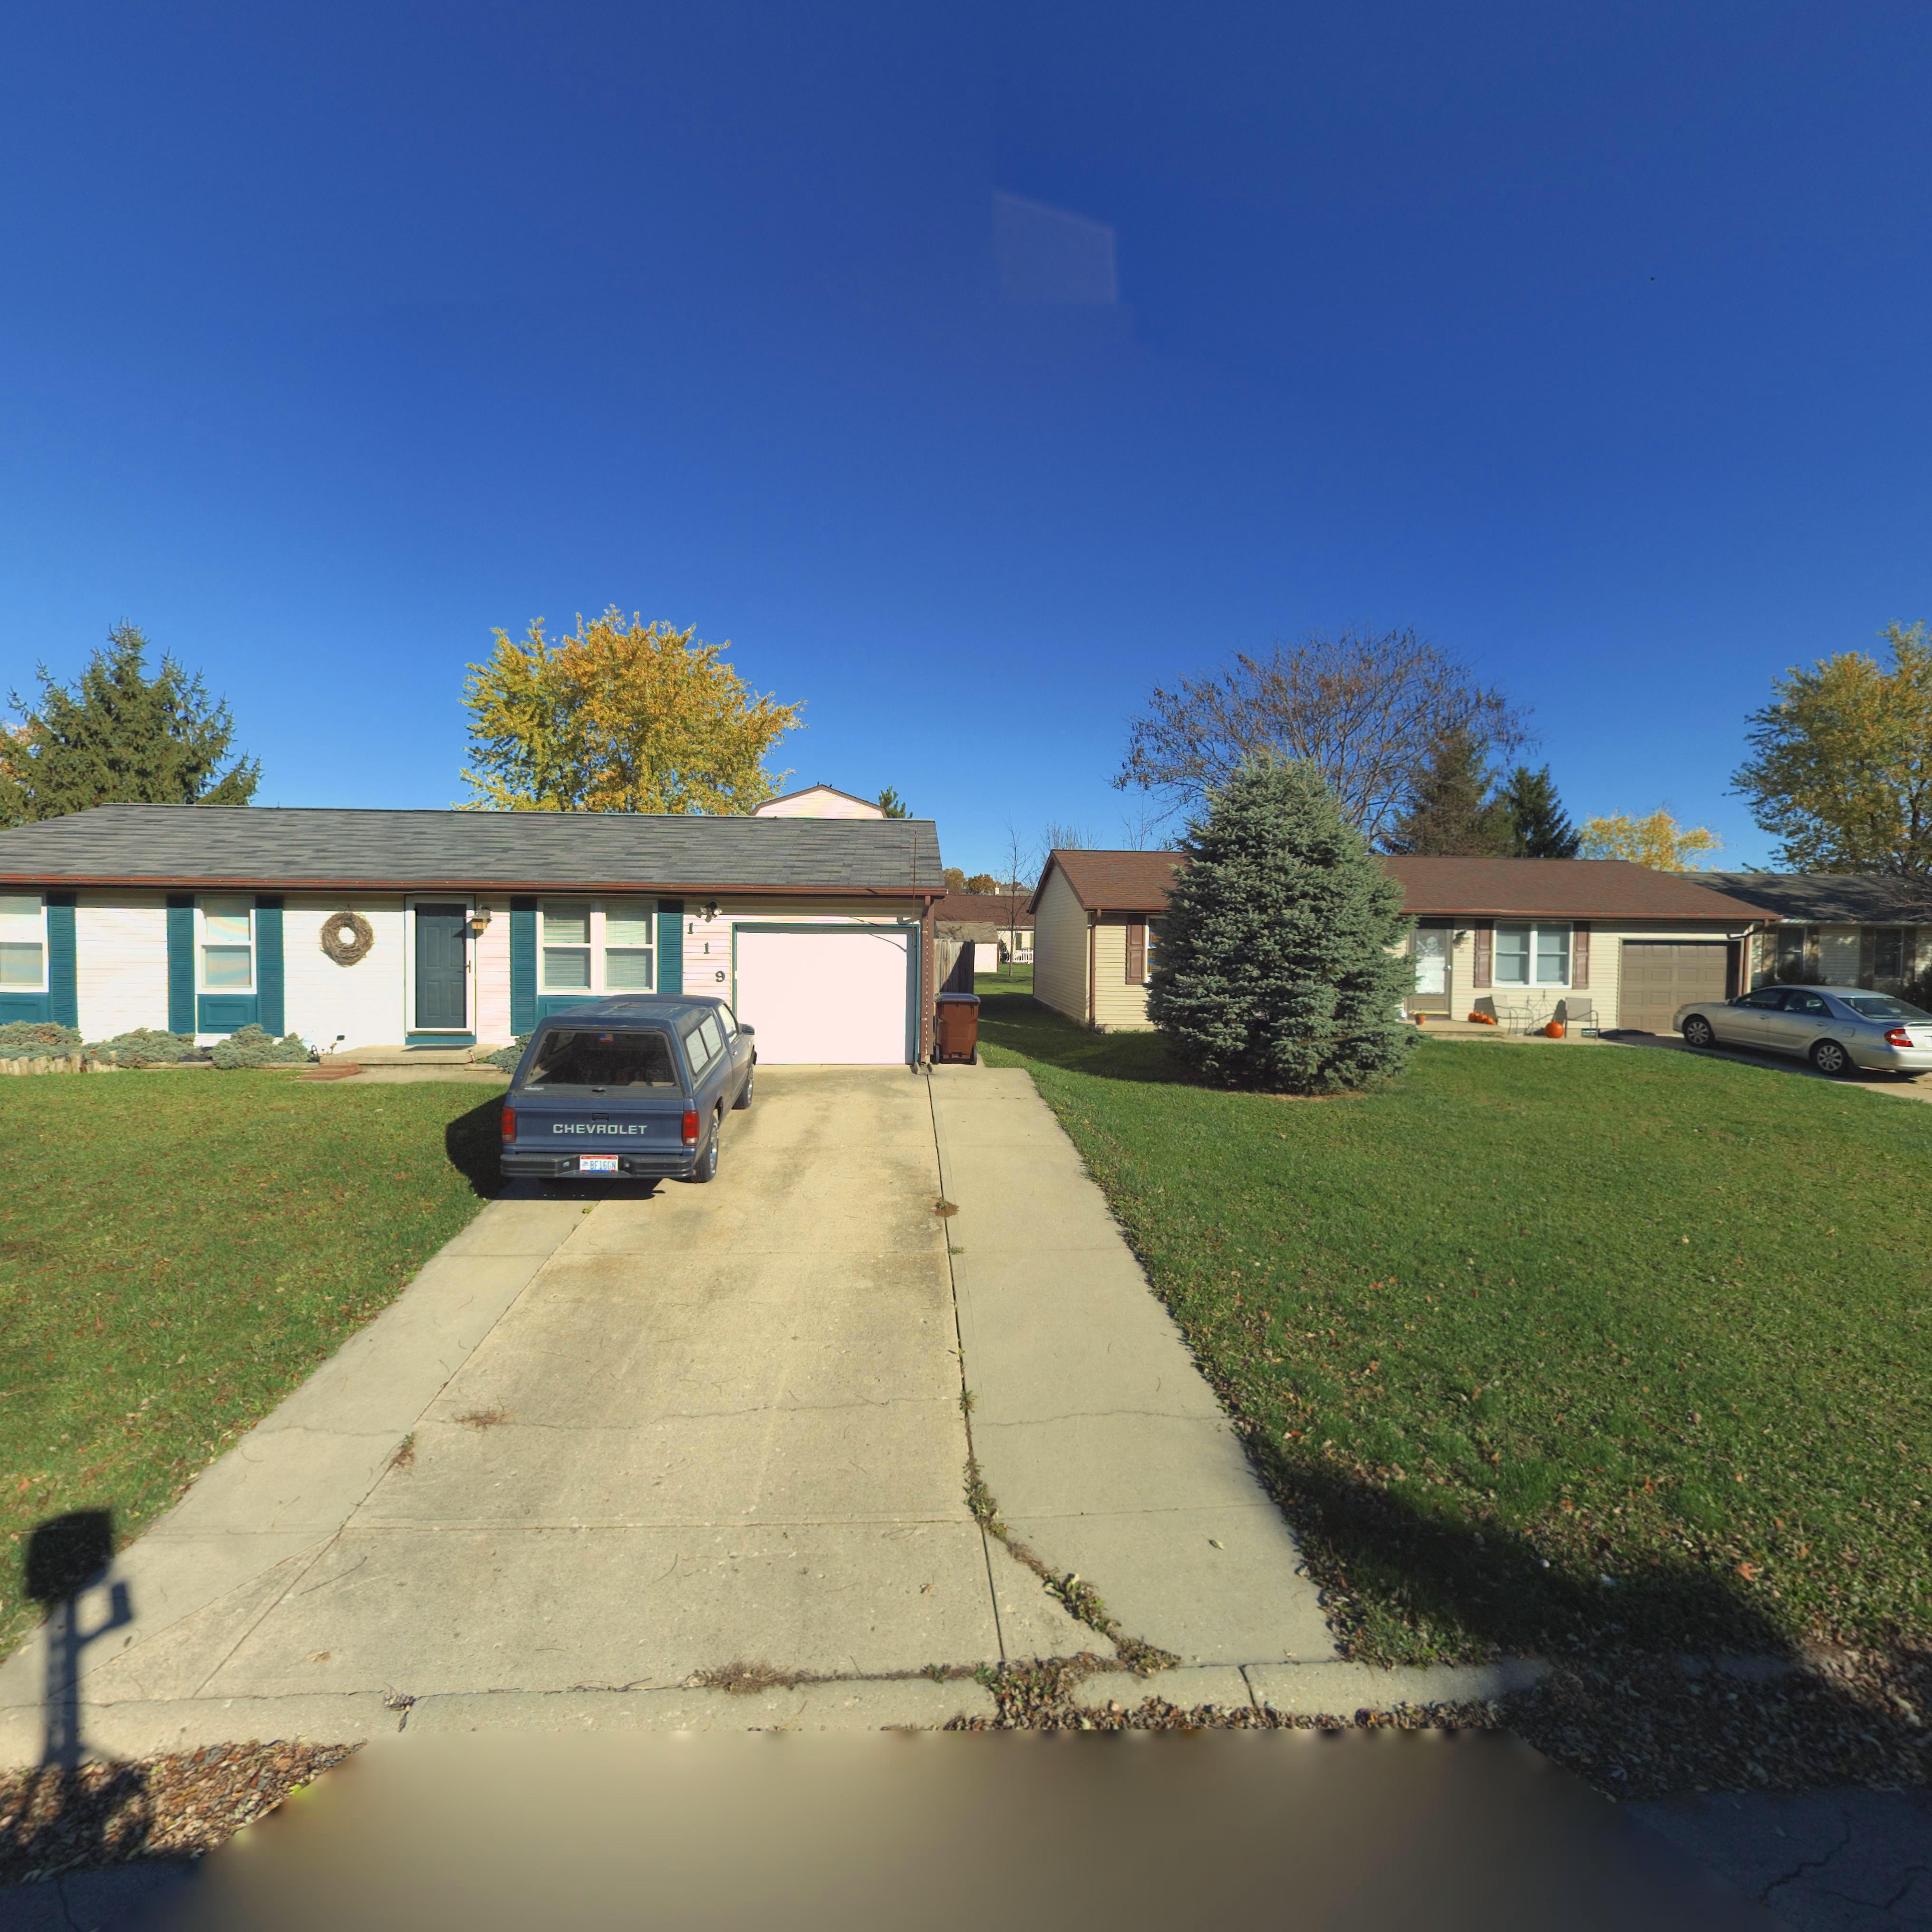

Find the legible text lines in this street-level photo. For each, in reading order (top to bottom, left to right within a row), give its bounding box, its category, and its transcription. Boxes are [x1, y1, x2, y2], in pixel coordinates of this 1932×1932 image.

[686, 921, 726, 983] StreetNumber: 119